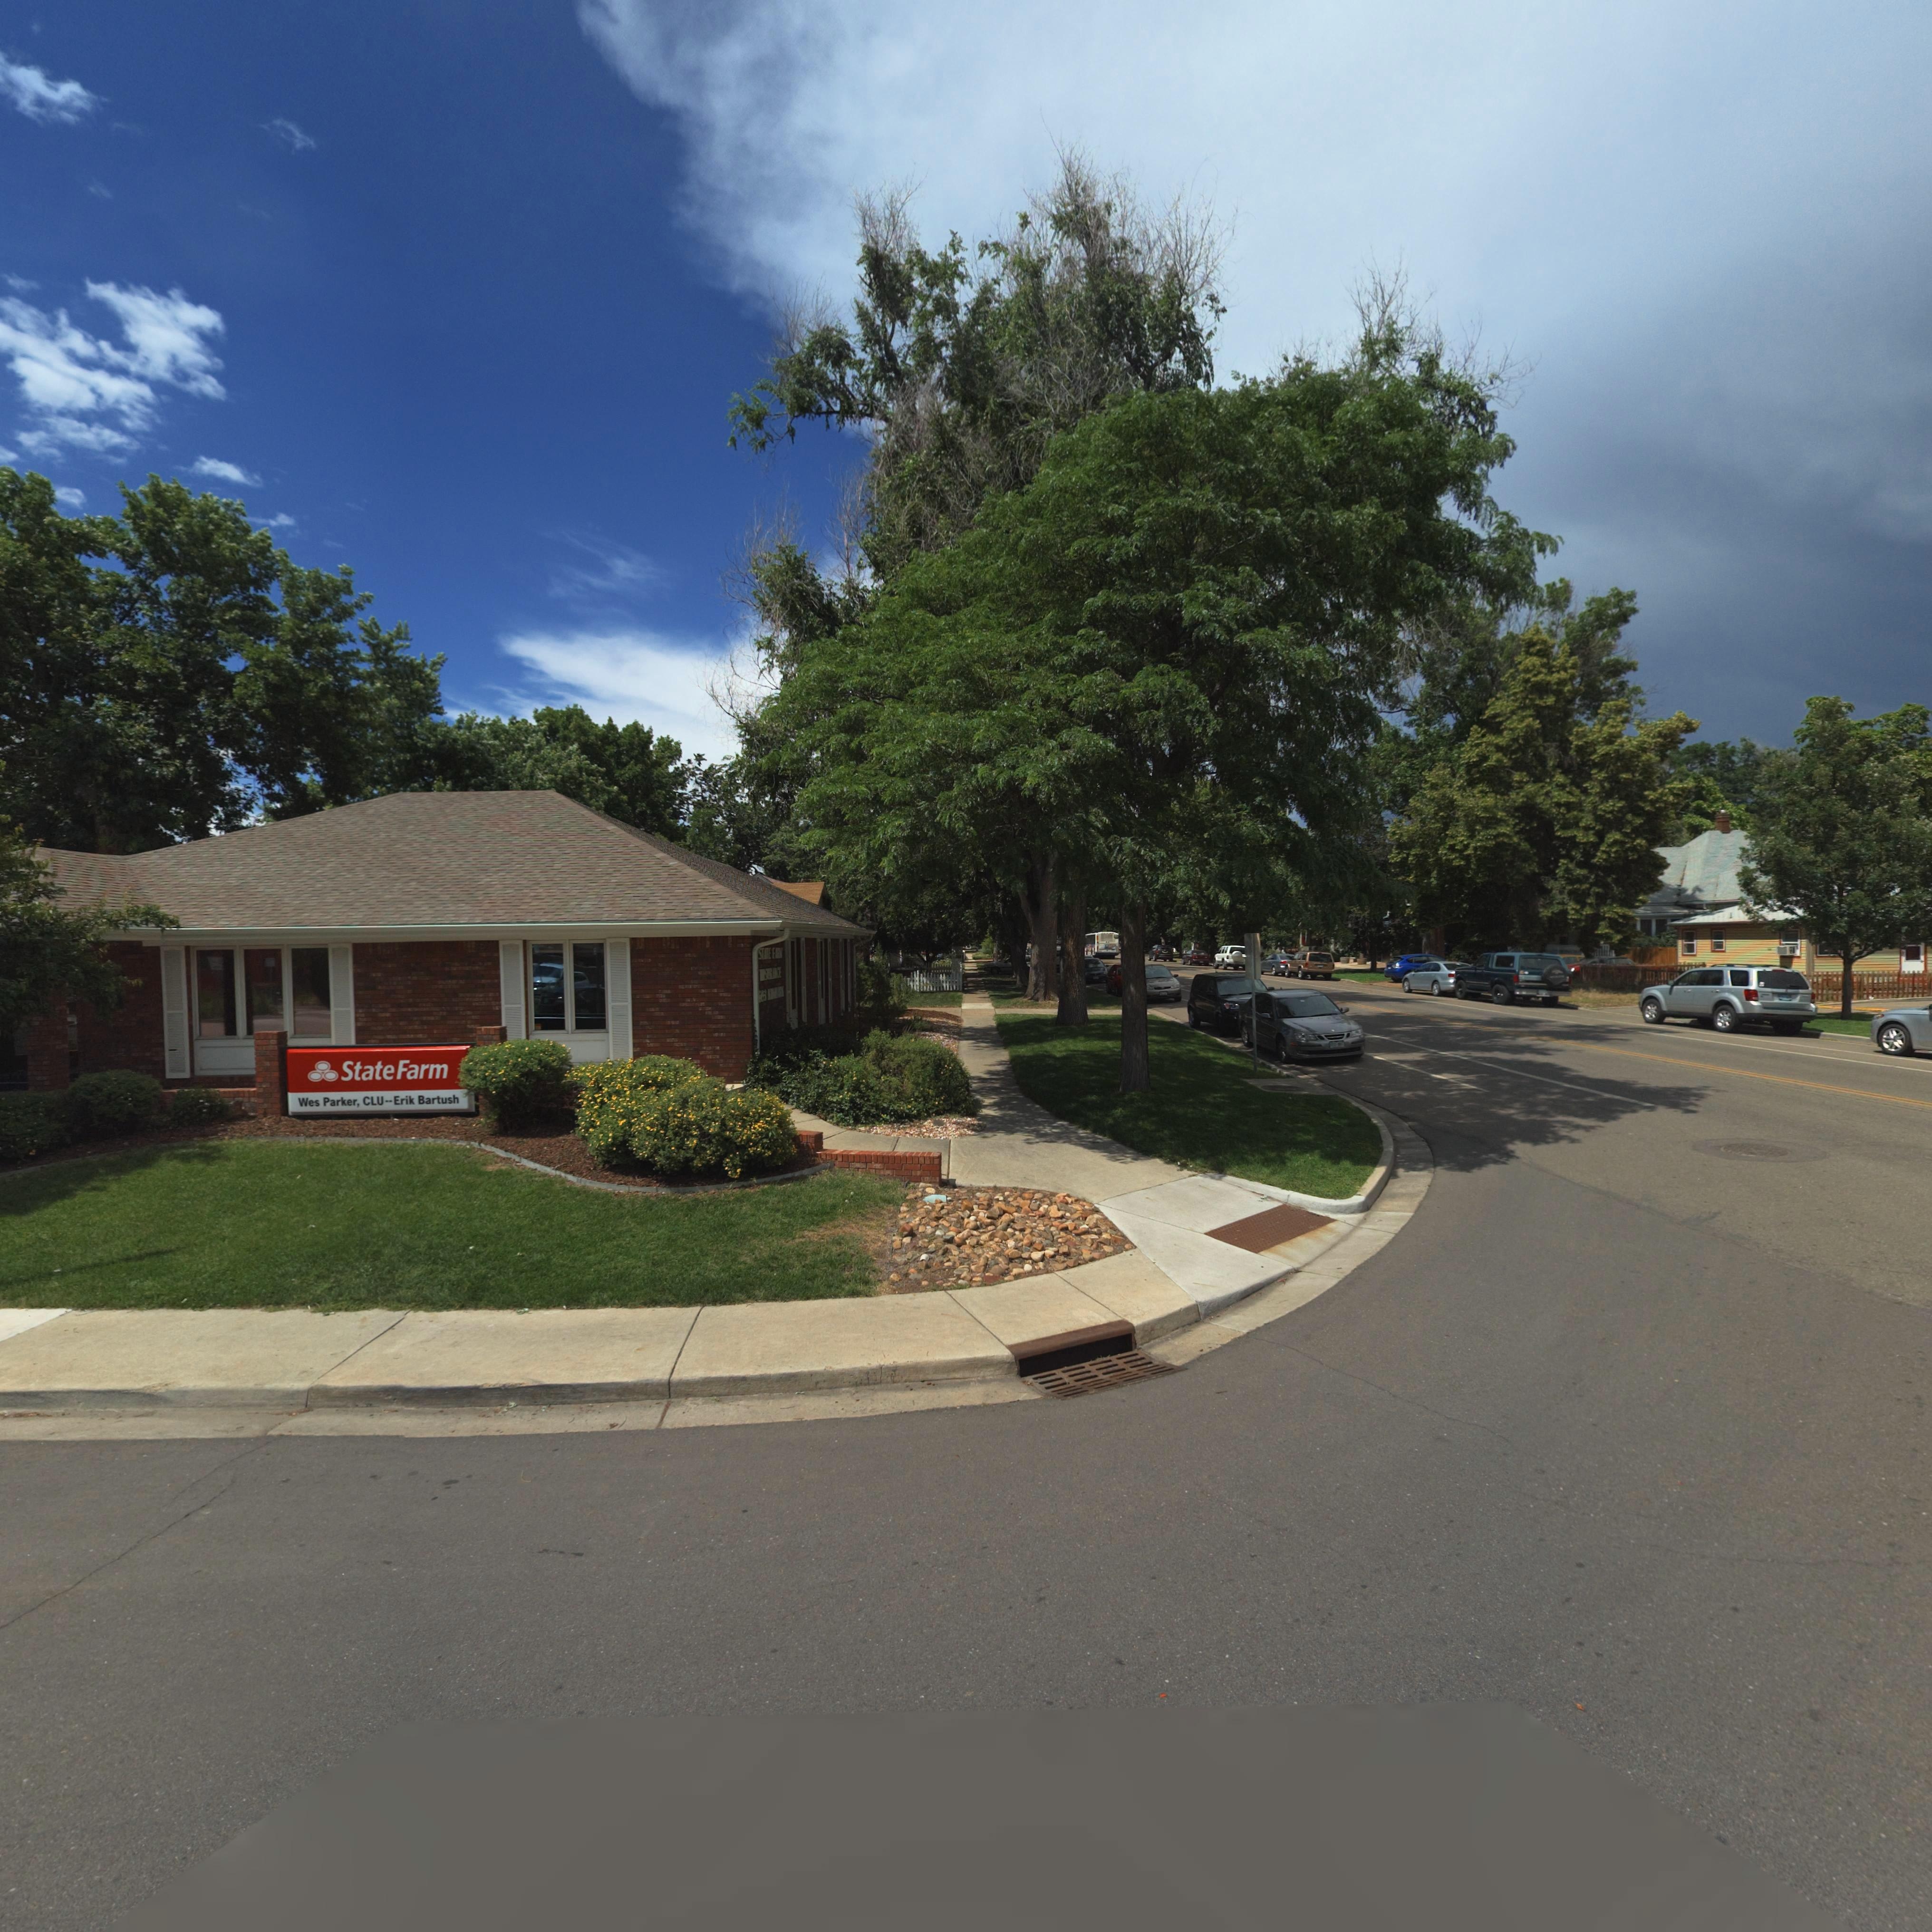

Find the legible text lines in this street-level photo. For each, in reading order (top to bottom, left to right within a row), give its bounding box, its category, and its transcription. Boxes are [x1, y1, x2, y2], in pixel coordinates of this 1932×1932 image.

[757, 947, 783, 960] BusinessName: ST*TE F**M
[759, 966, 782, 981] BusinessName: **S****CE
[758, 989, 766, 1003] StreetNumber: 6**
[768, 985, 785, 1000] StreetName: K**MB**K
[341, 1059, 448, 1081] BusinessName: State Farm